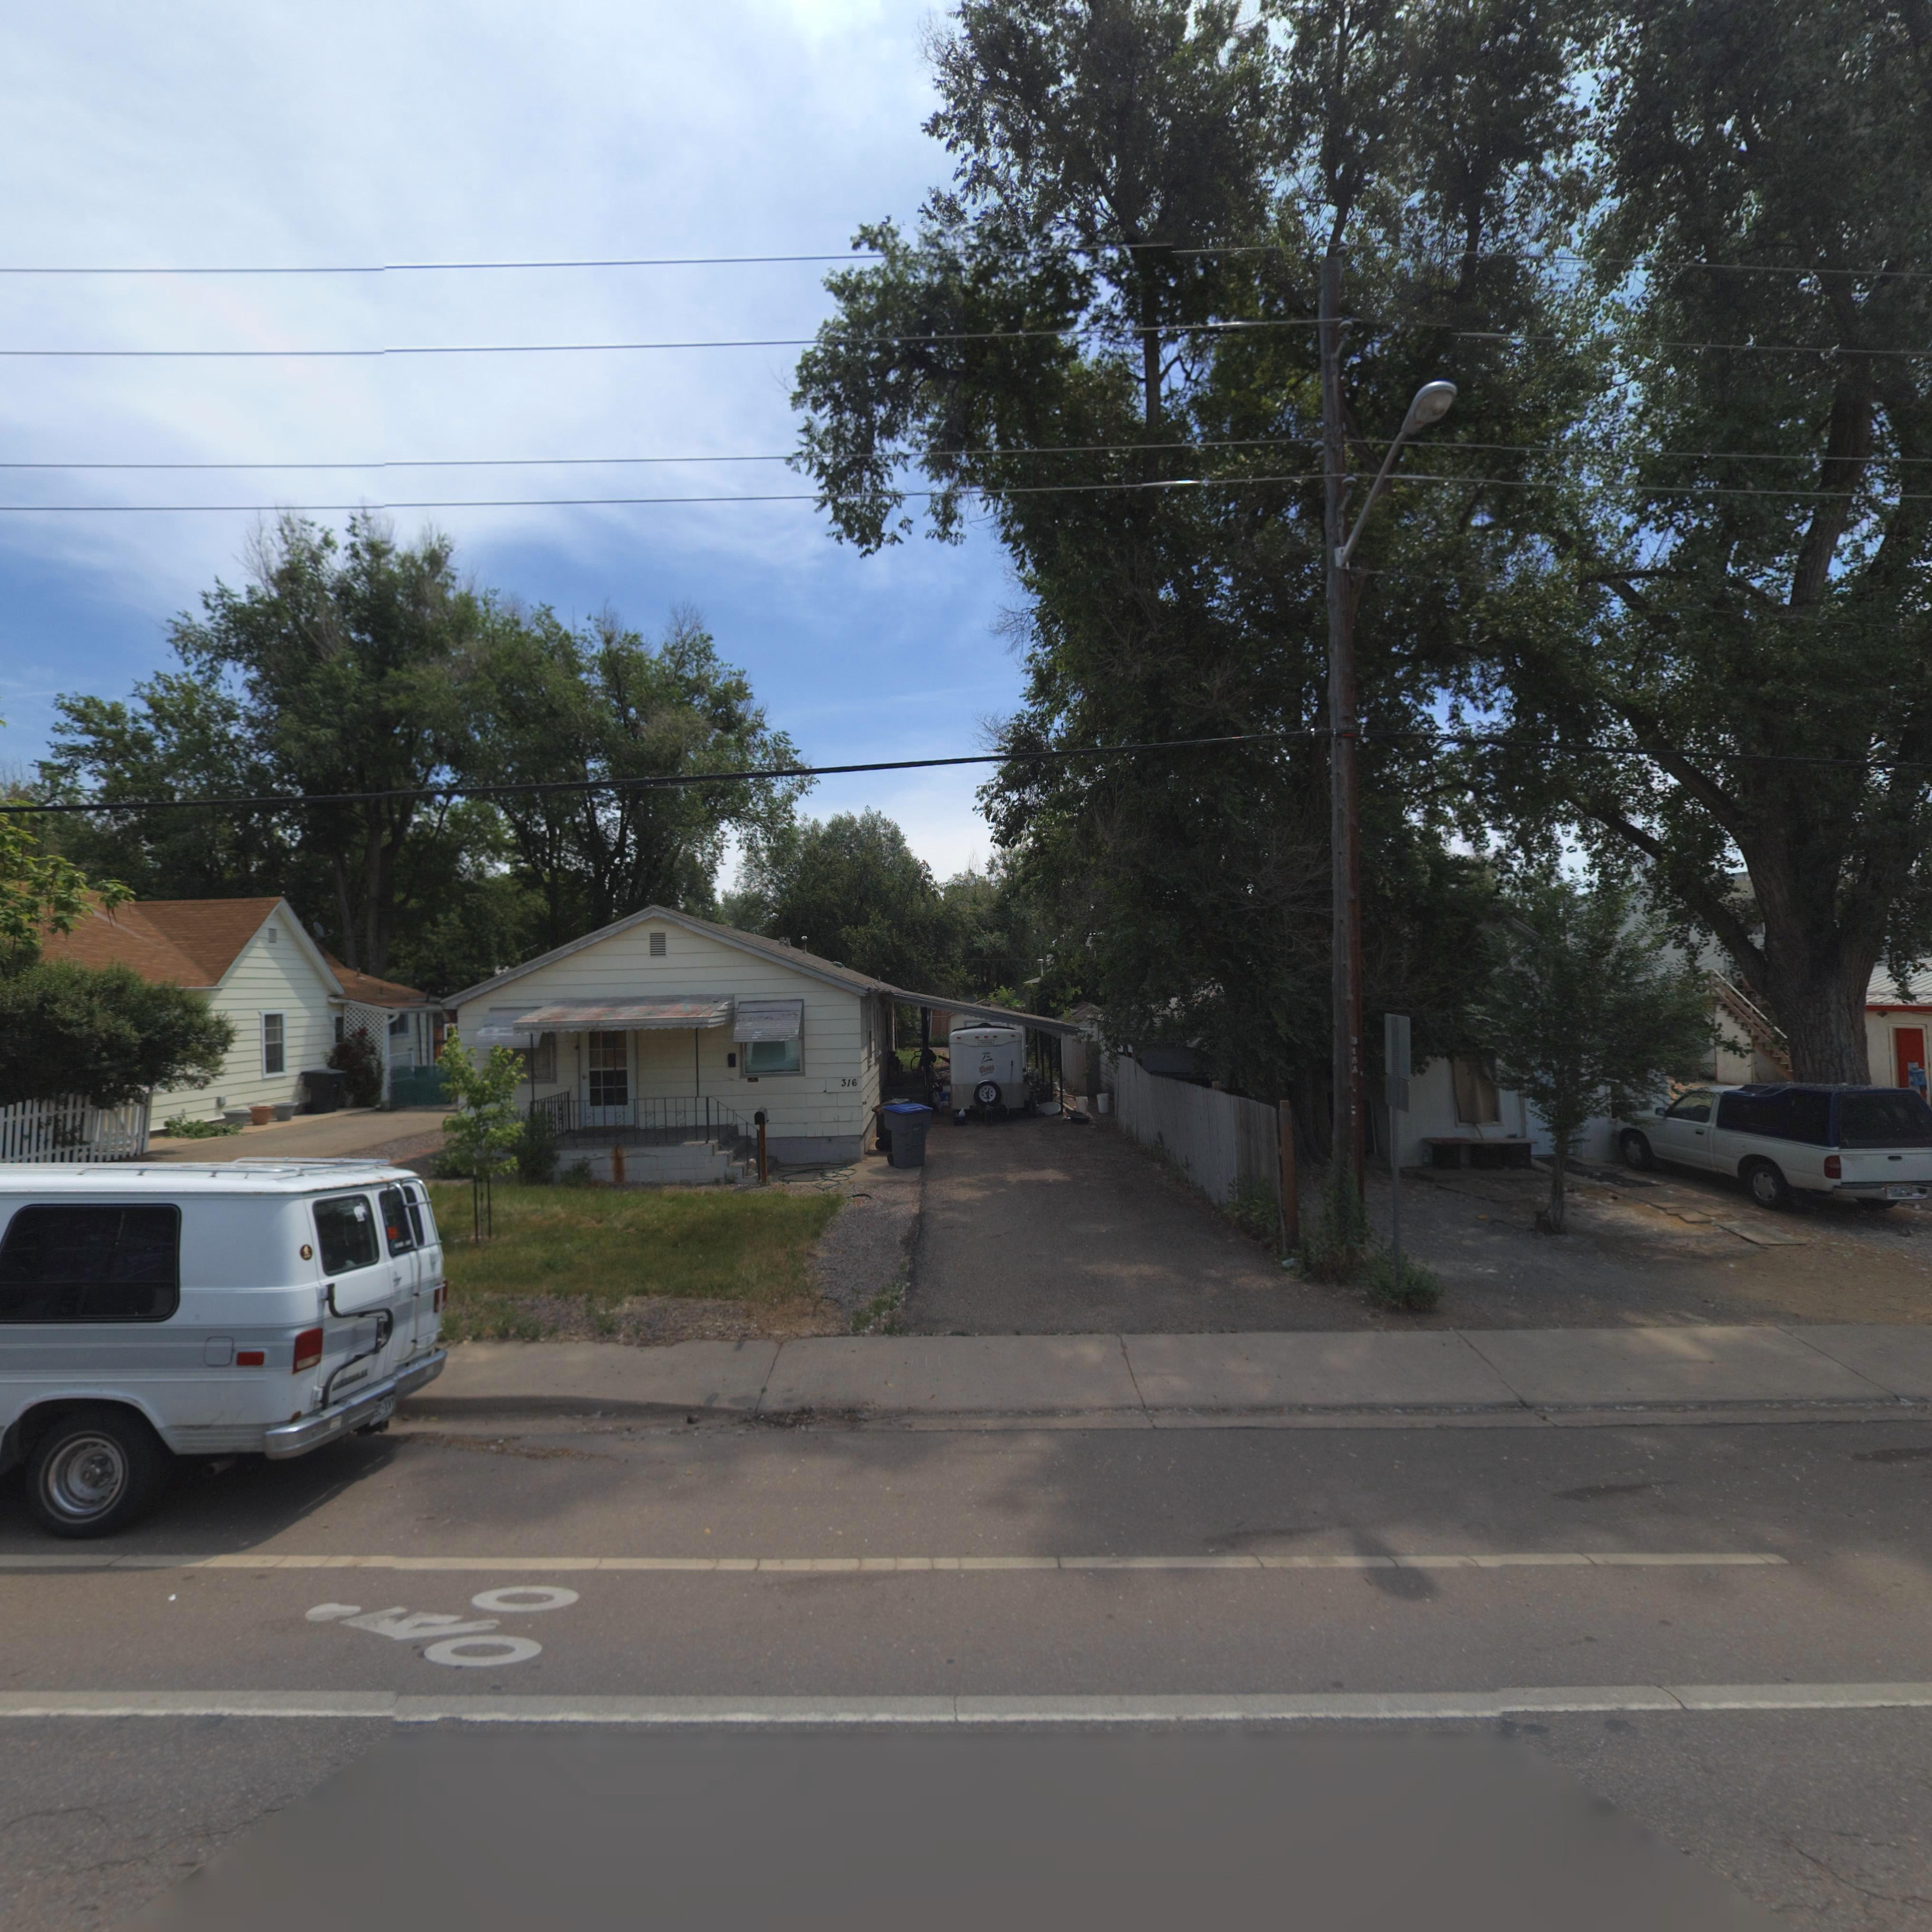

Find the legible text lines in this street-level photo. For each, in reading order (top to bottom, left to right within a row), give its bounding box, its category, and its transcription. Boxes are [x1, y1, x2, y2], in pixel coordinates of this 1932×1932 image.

[840, 1078, 858, 1087] StreetNumber: 316